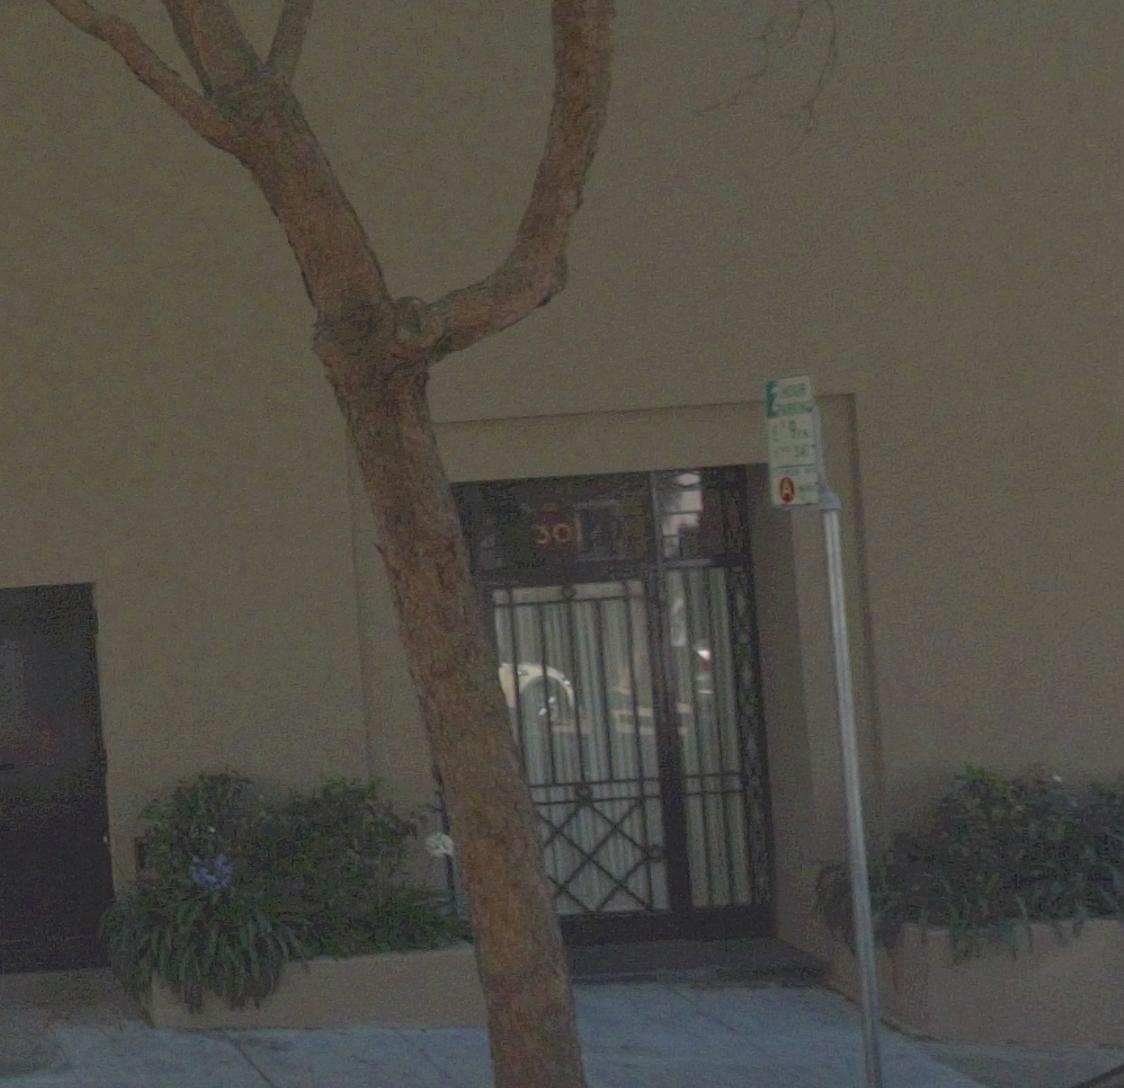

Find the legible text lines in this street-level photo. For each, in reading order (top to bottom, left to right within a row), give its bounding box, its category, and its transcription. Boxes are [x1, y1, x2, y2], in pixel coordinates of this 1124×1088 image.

[768, 383, 782, 413] None: 2
[783, 381, 806, 400] None: HOUR
[778, 400, 813, 417] None: PARKING
[788, 418, 812, 440] None: 9P.M.
[781, 478, 794, 499] None: A
[531, 519, 585, 547] StreetNumber: 301